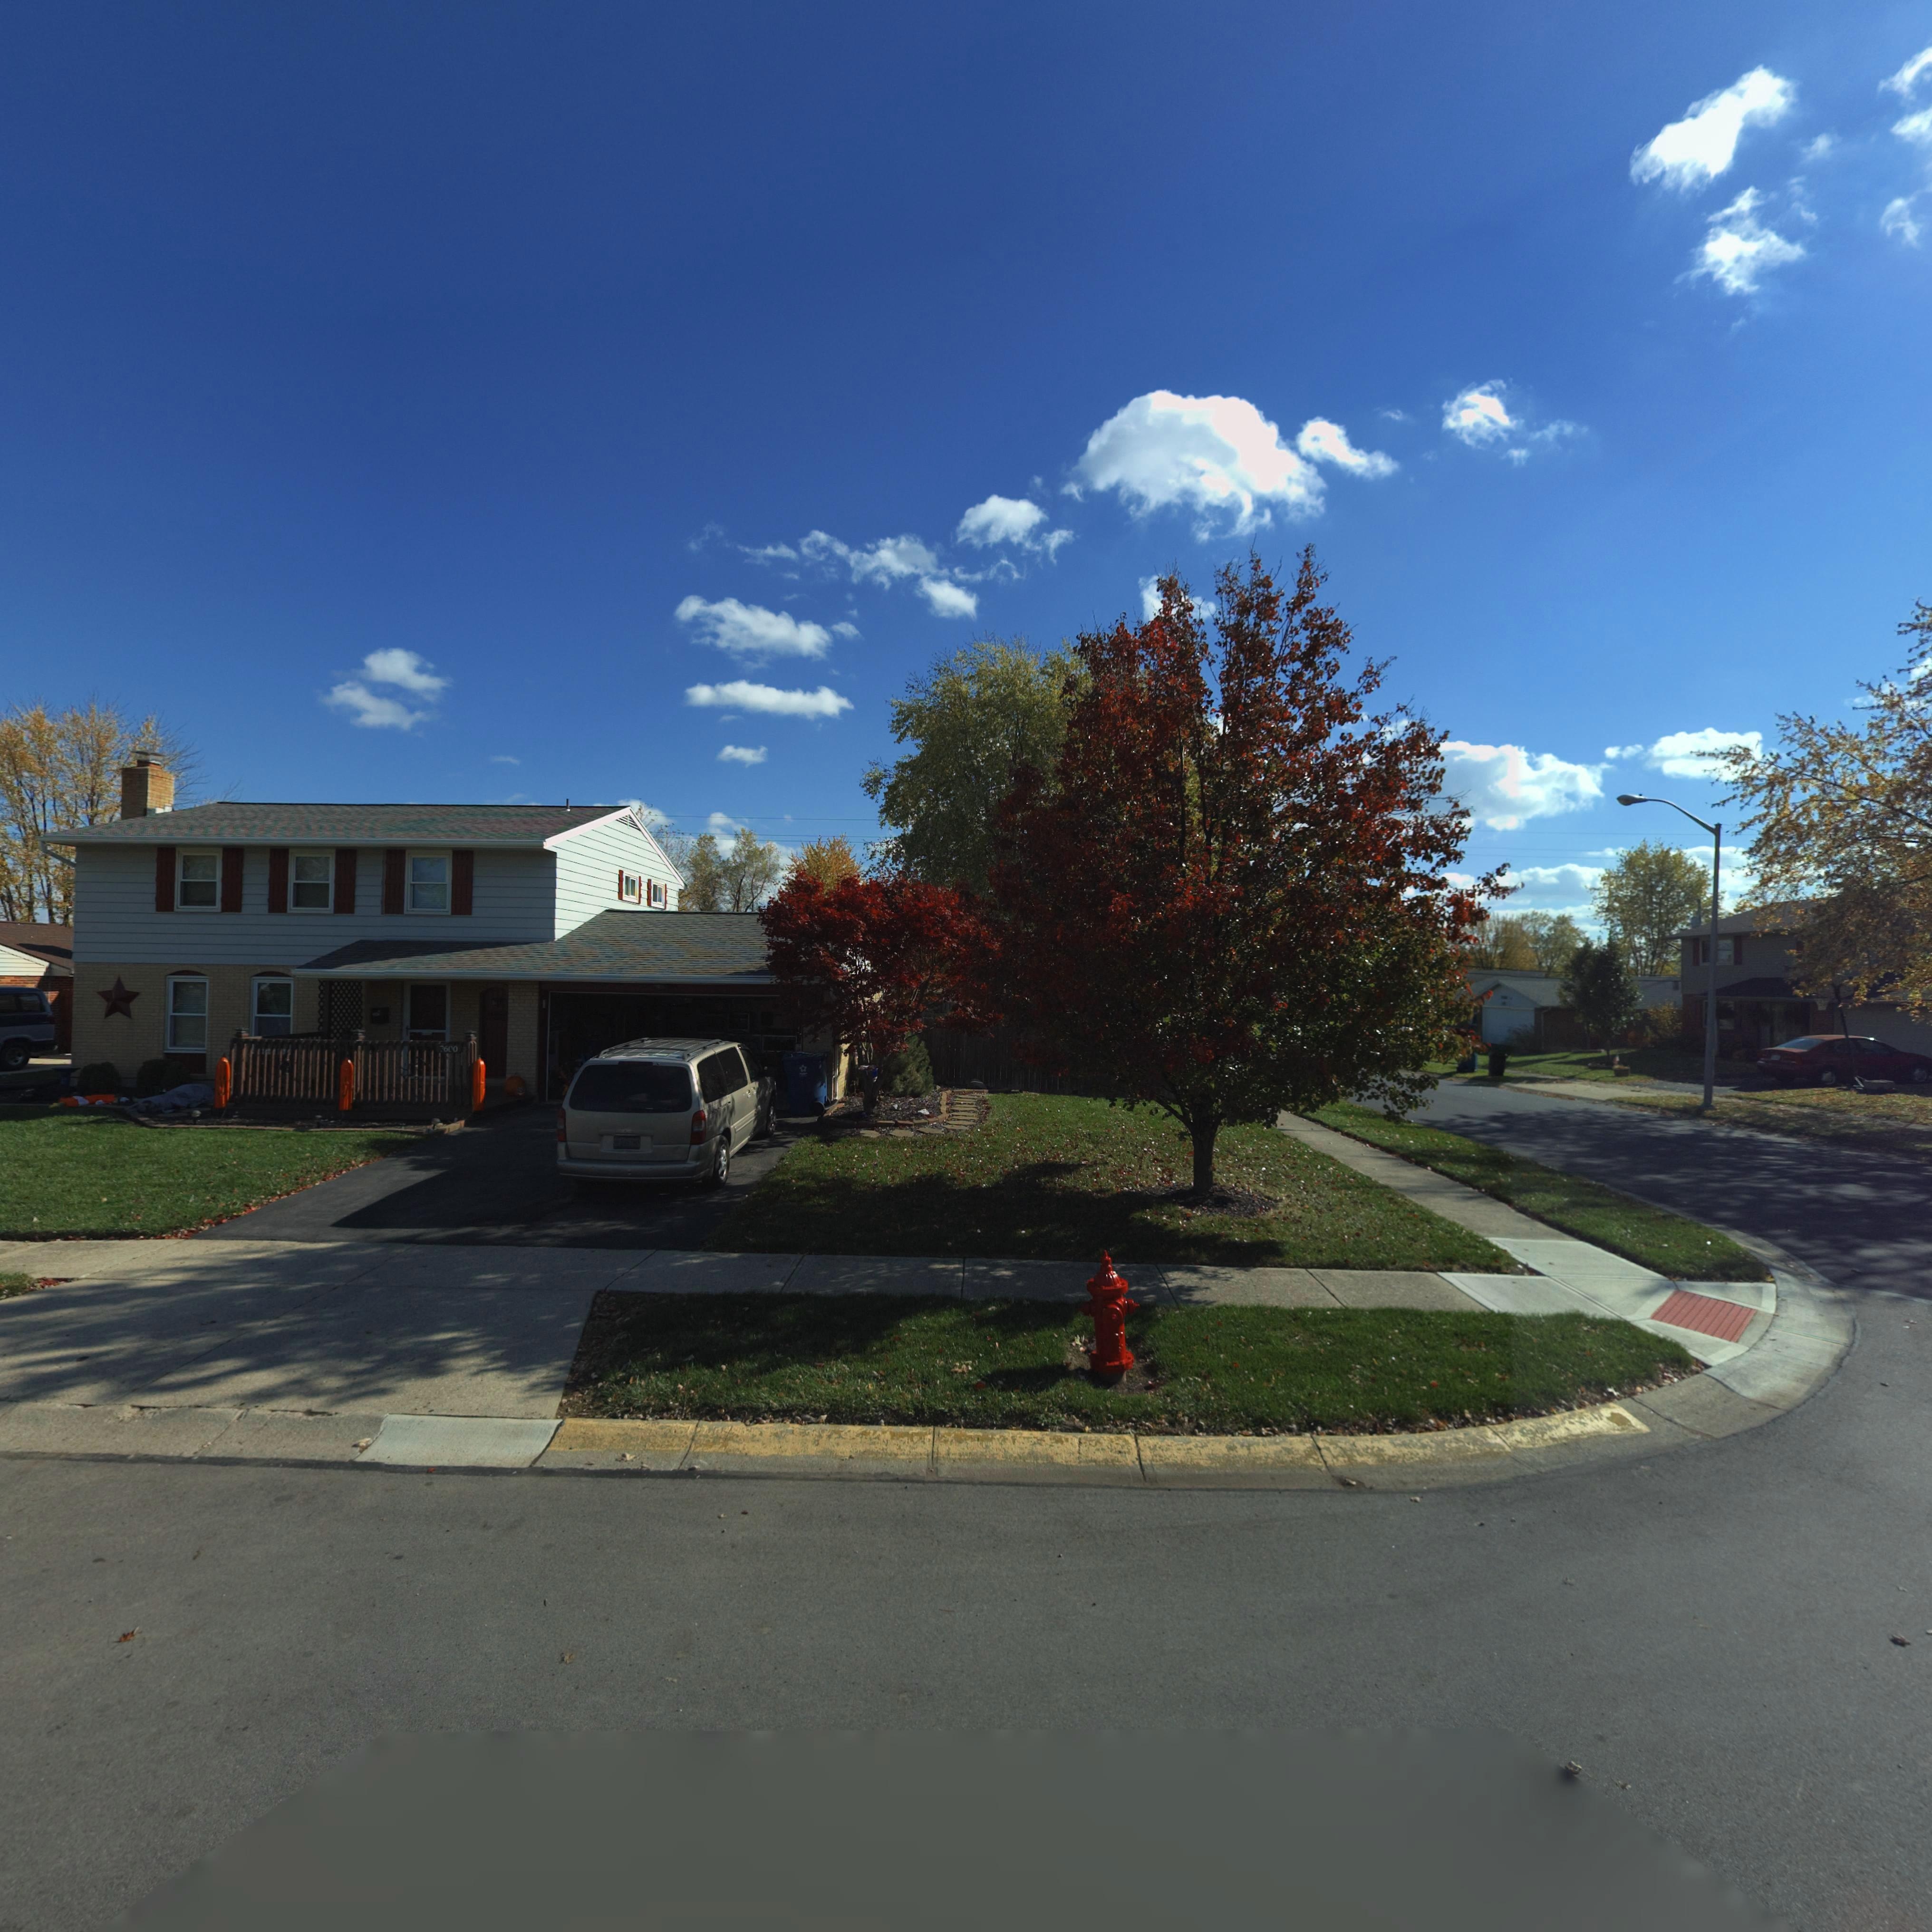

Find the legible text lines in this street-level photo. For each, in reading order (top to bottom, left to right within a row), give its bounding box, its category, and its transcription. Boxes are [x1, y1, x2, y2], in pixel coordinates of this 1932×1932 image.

[438, 1044, 459, 1054] StreetNumber: *6*0